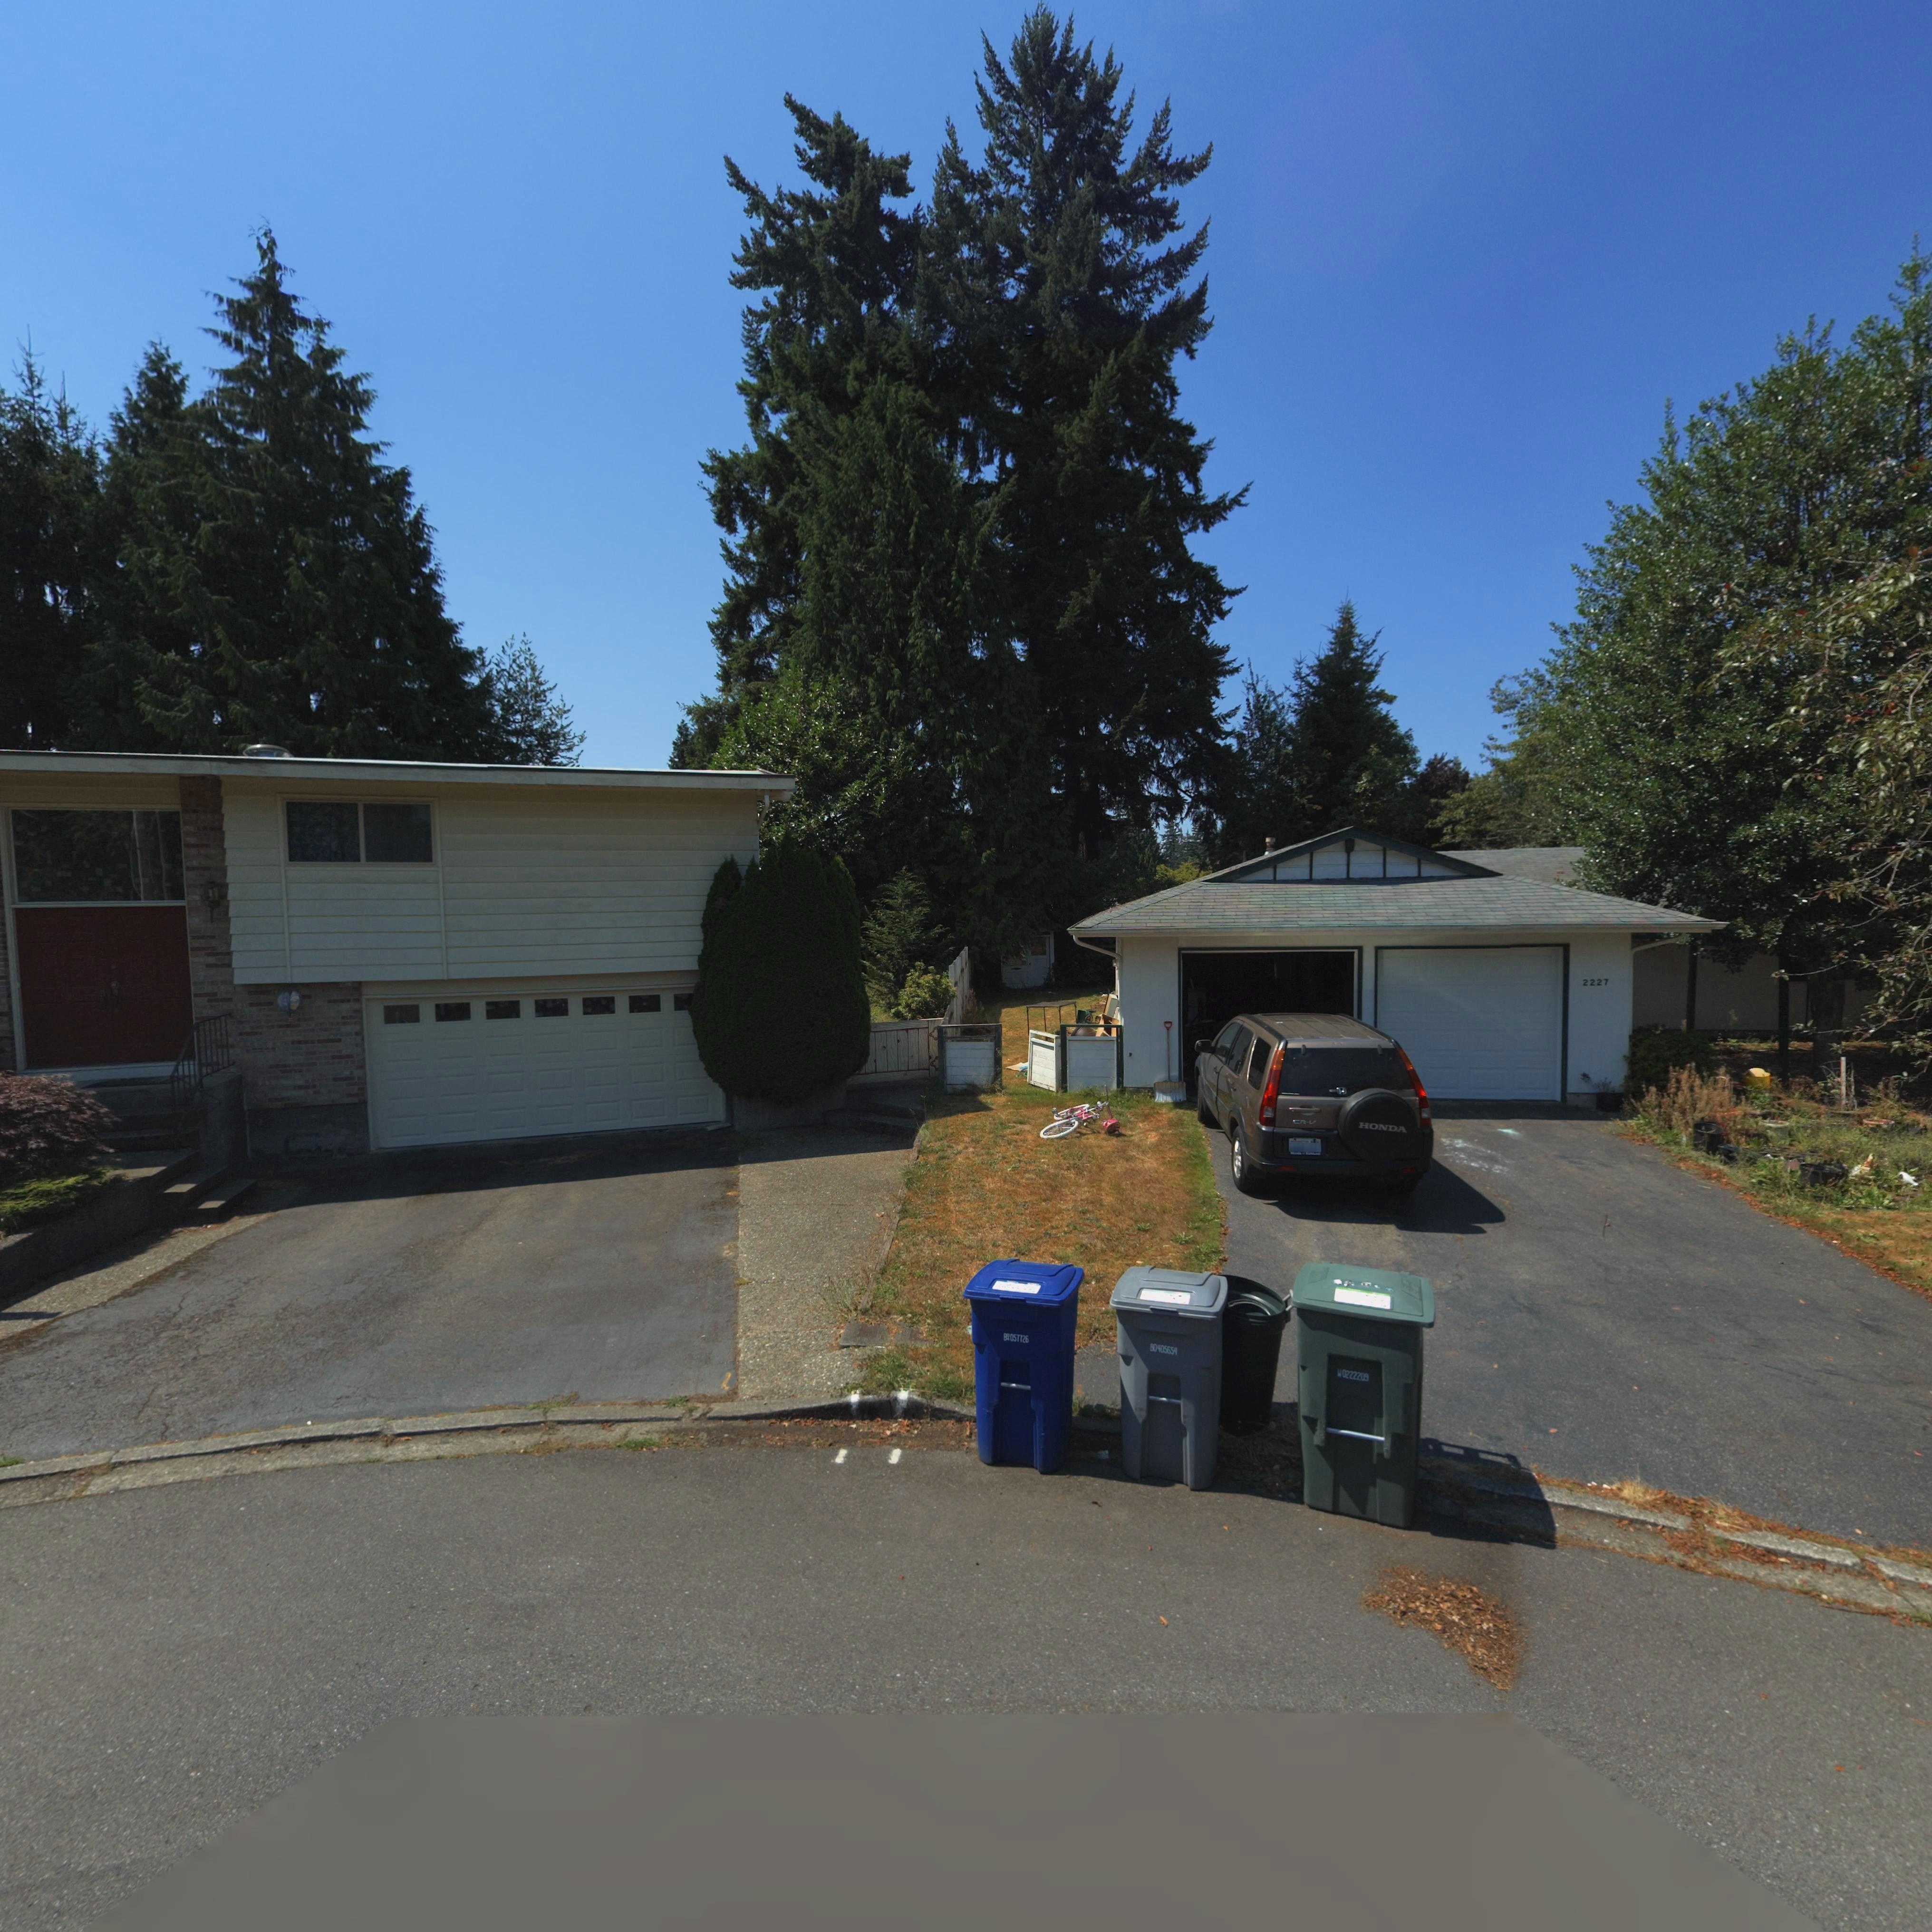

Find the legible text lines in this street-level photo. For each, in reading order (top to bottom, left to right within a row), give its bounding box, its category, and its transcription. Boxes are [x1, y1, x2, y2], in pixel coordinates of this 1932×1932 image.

[1583, 978, 1609, 985] StreetNumber: 2227